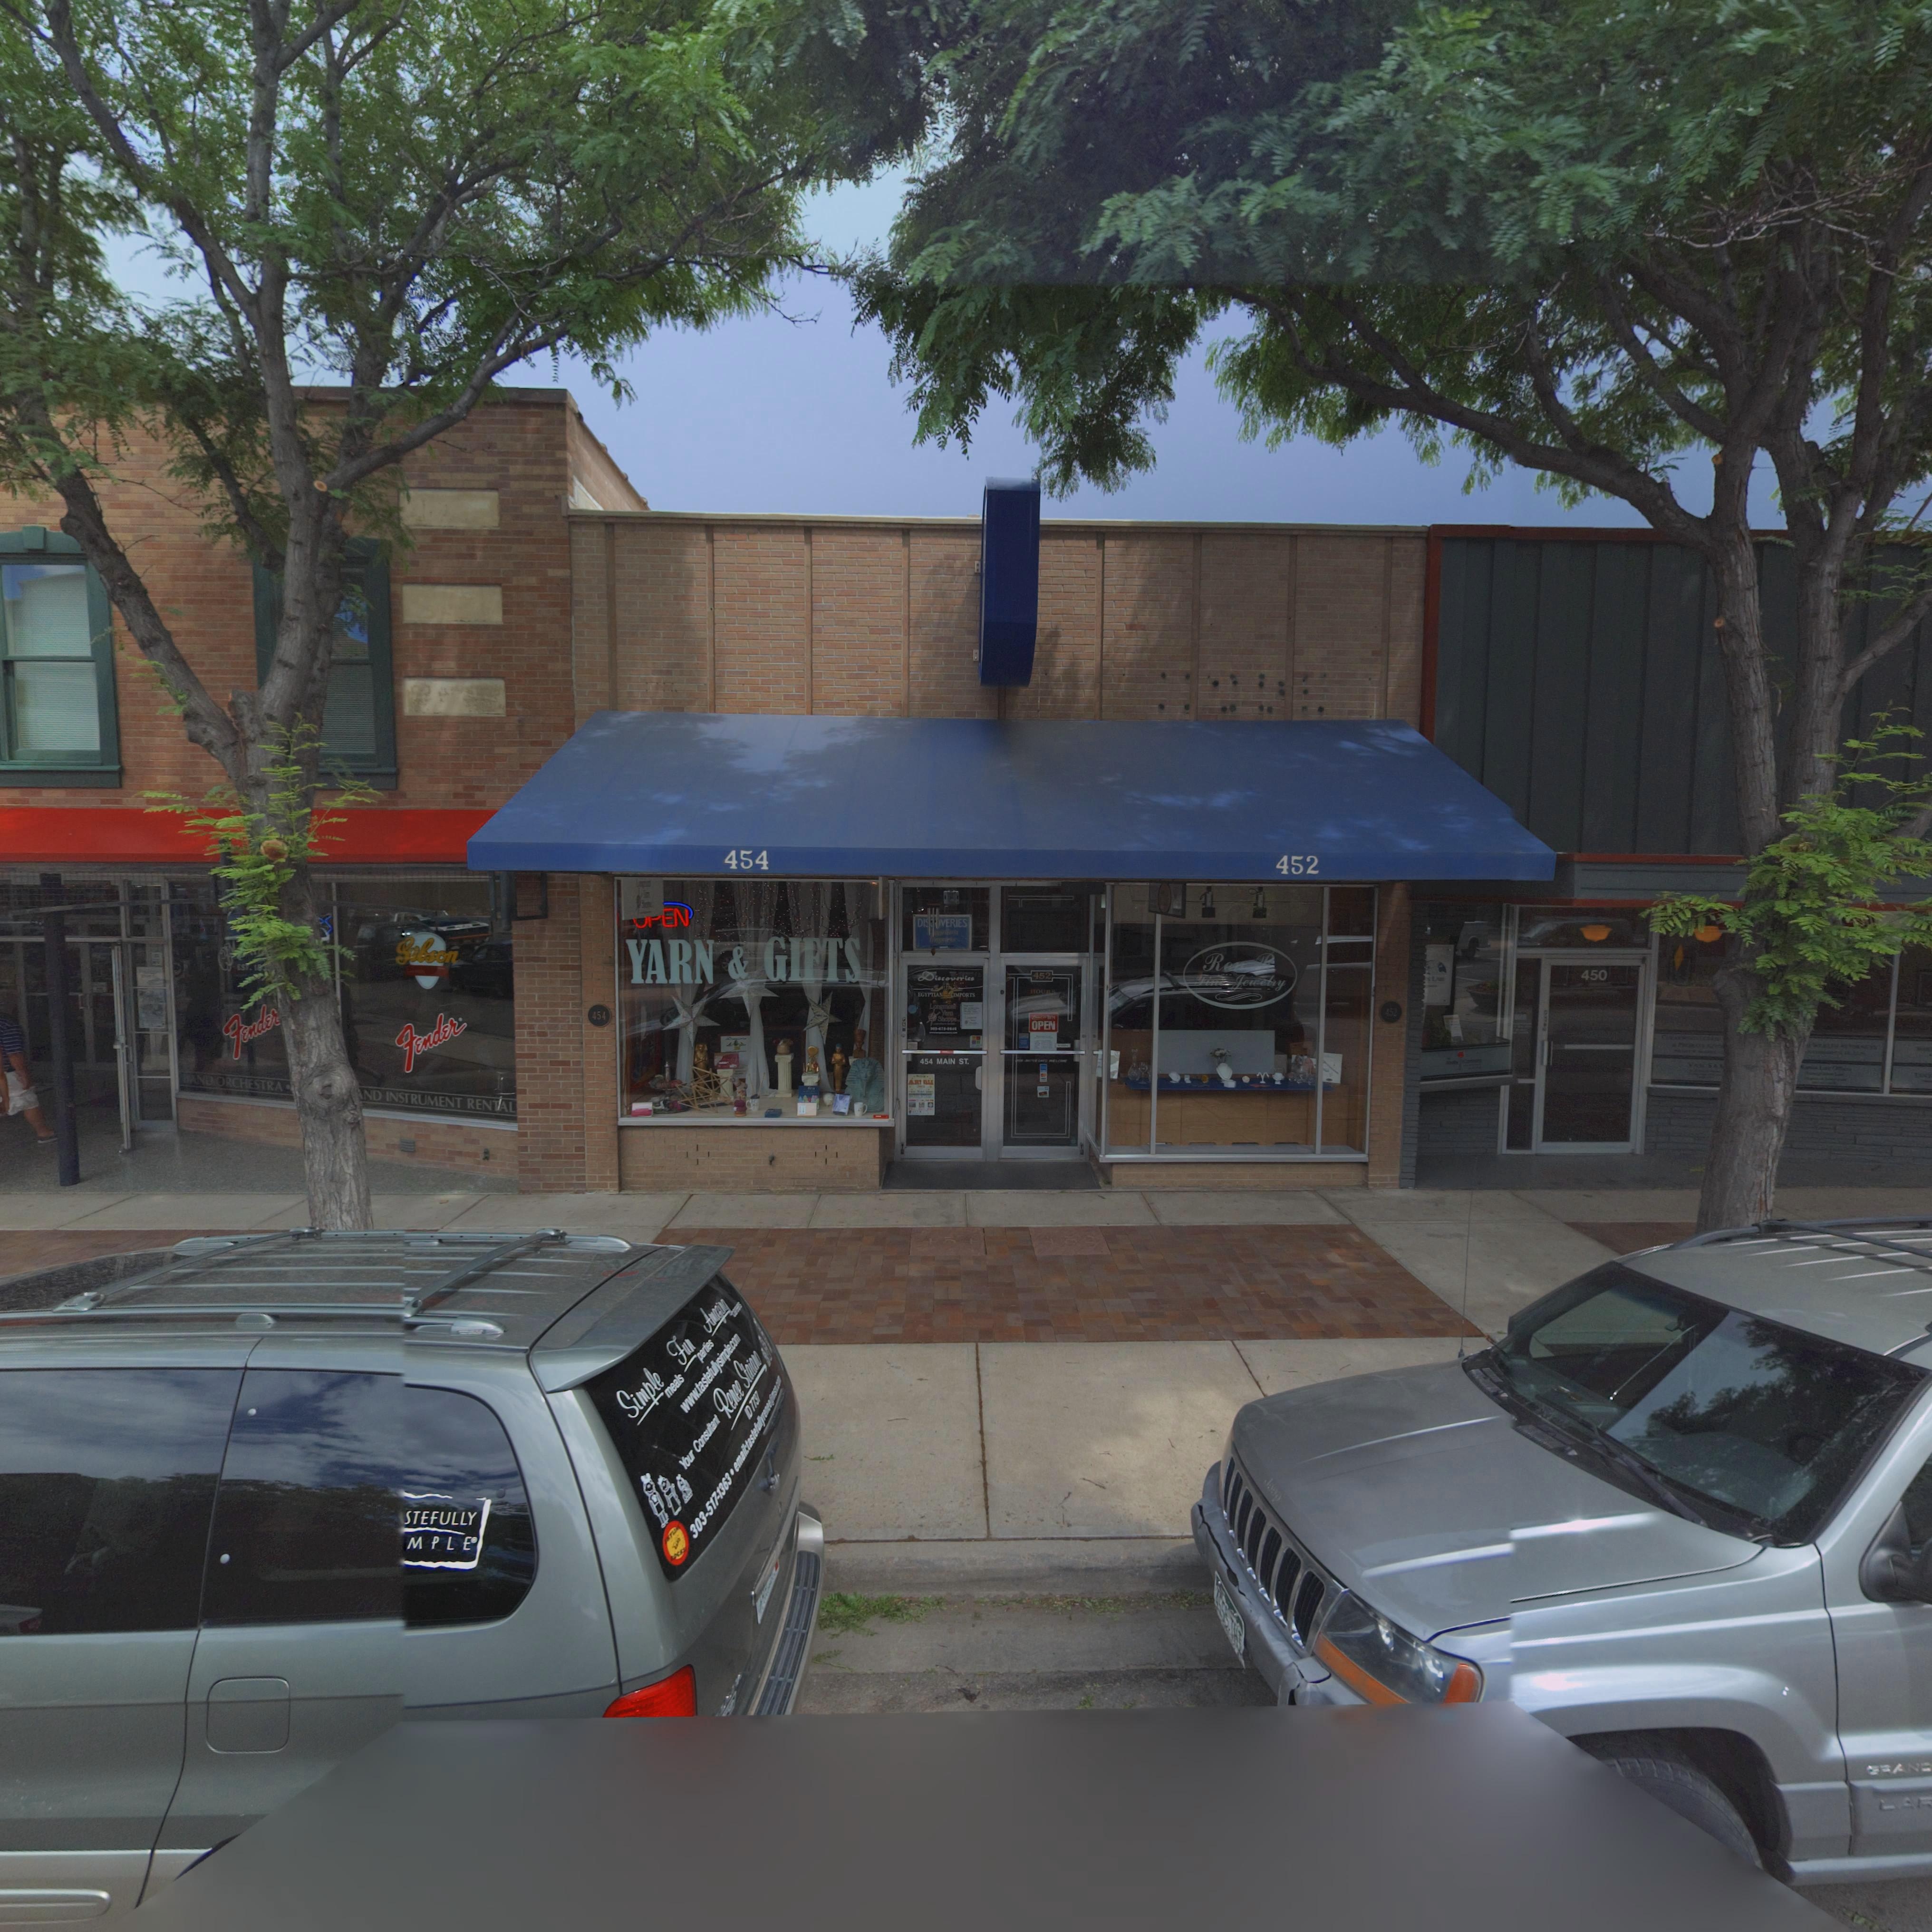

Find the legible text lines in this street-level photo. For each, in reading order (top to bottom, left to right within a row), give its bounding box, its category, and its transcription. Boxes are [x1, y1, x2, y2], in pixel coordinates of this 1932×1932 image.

[723, 849, 769, 870] StreetNumber: 454
[1275, 854, 1320, 875] StreetNumber: 452
[917, 918, 967, 928] BusinessName: DI***VERIES
[929, 936, 956, 944] BusinessName: Imp***s
[1202, 952, 1276, 972] BusinessName: Ro* *
[918, 970, 975, 982] BusinessName: Discoveries
[1033, 972, 1051, 979] StreetNumber: 452
[1580, 969, 1608, 981] StreetNumber: 450
[1195, 973, 1286, 991] BusinessName: Fine Jewelry
[917, 991, 975, 997] BusinessName: EGYPTIAN IMPORTS
[929, 1003, 956, 1010] BusinessName: Longmont
[591, 1011, 606, 1020] StreetNumber: 454
[937, 1015, 956, 1023] BusinessName: Shoppe
[941, 1009, 954, 1015] BusinessName: Y**n
[1384, 1007, 1398, 1016] StreetNumber: 452
[919, 1058, 933, 1065] StreetNumber: 454
[936, 1057, 969, 1064] StreetName: MAIN ST.
[1687, 1061, 1725, 1070] BusinessName: VAN SA*
[1800, 1063, 1853, 1072] BusinessName: ***** L** O******